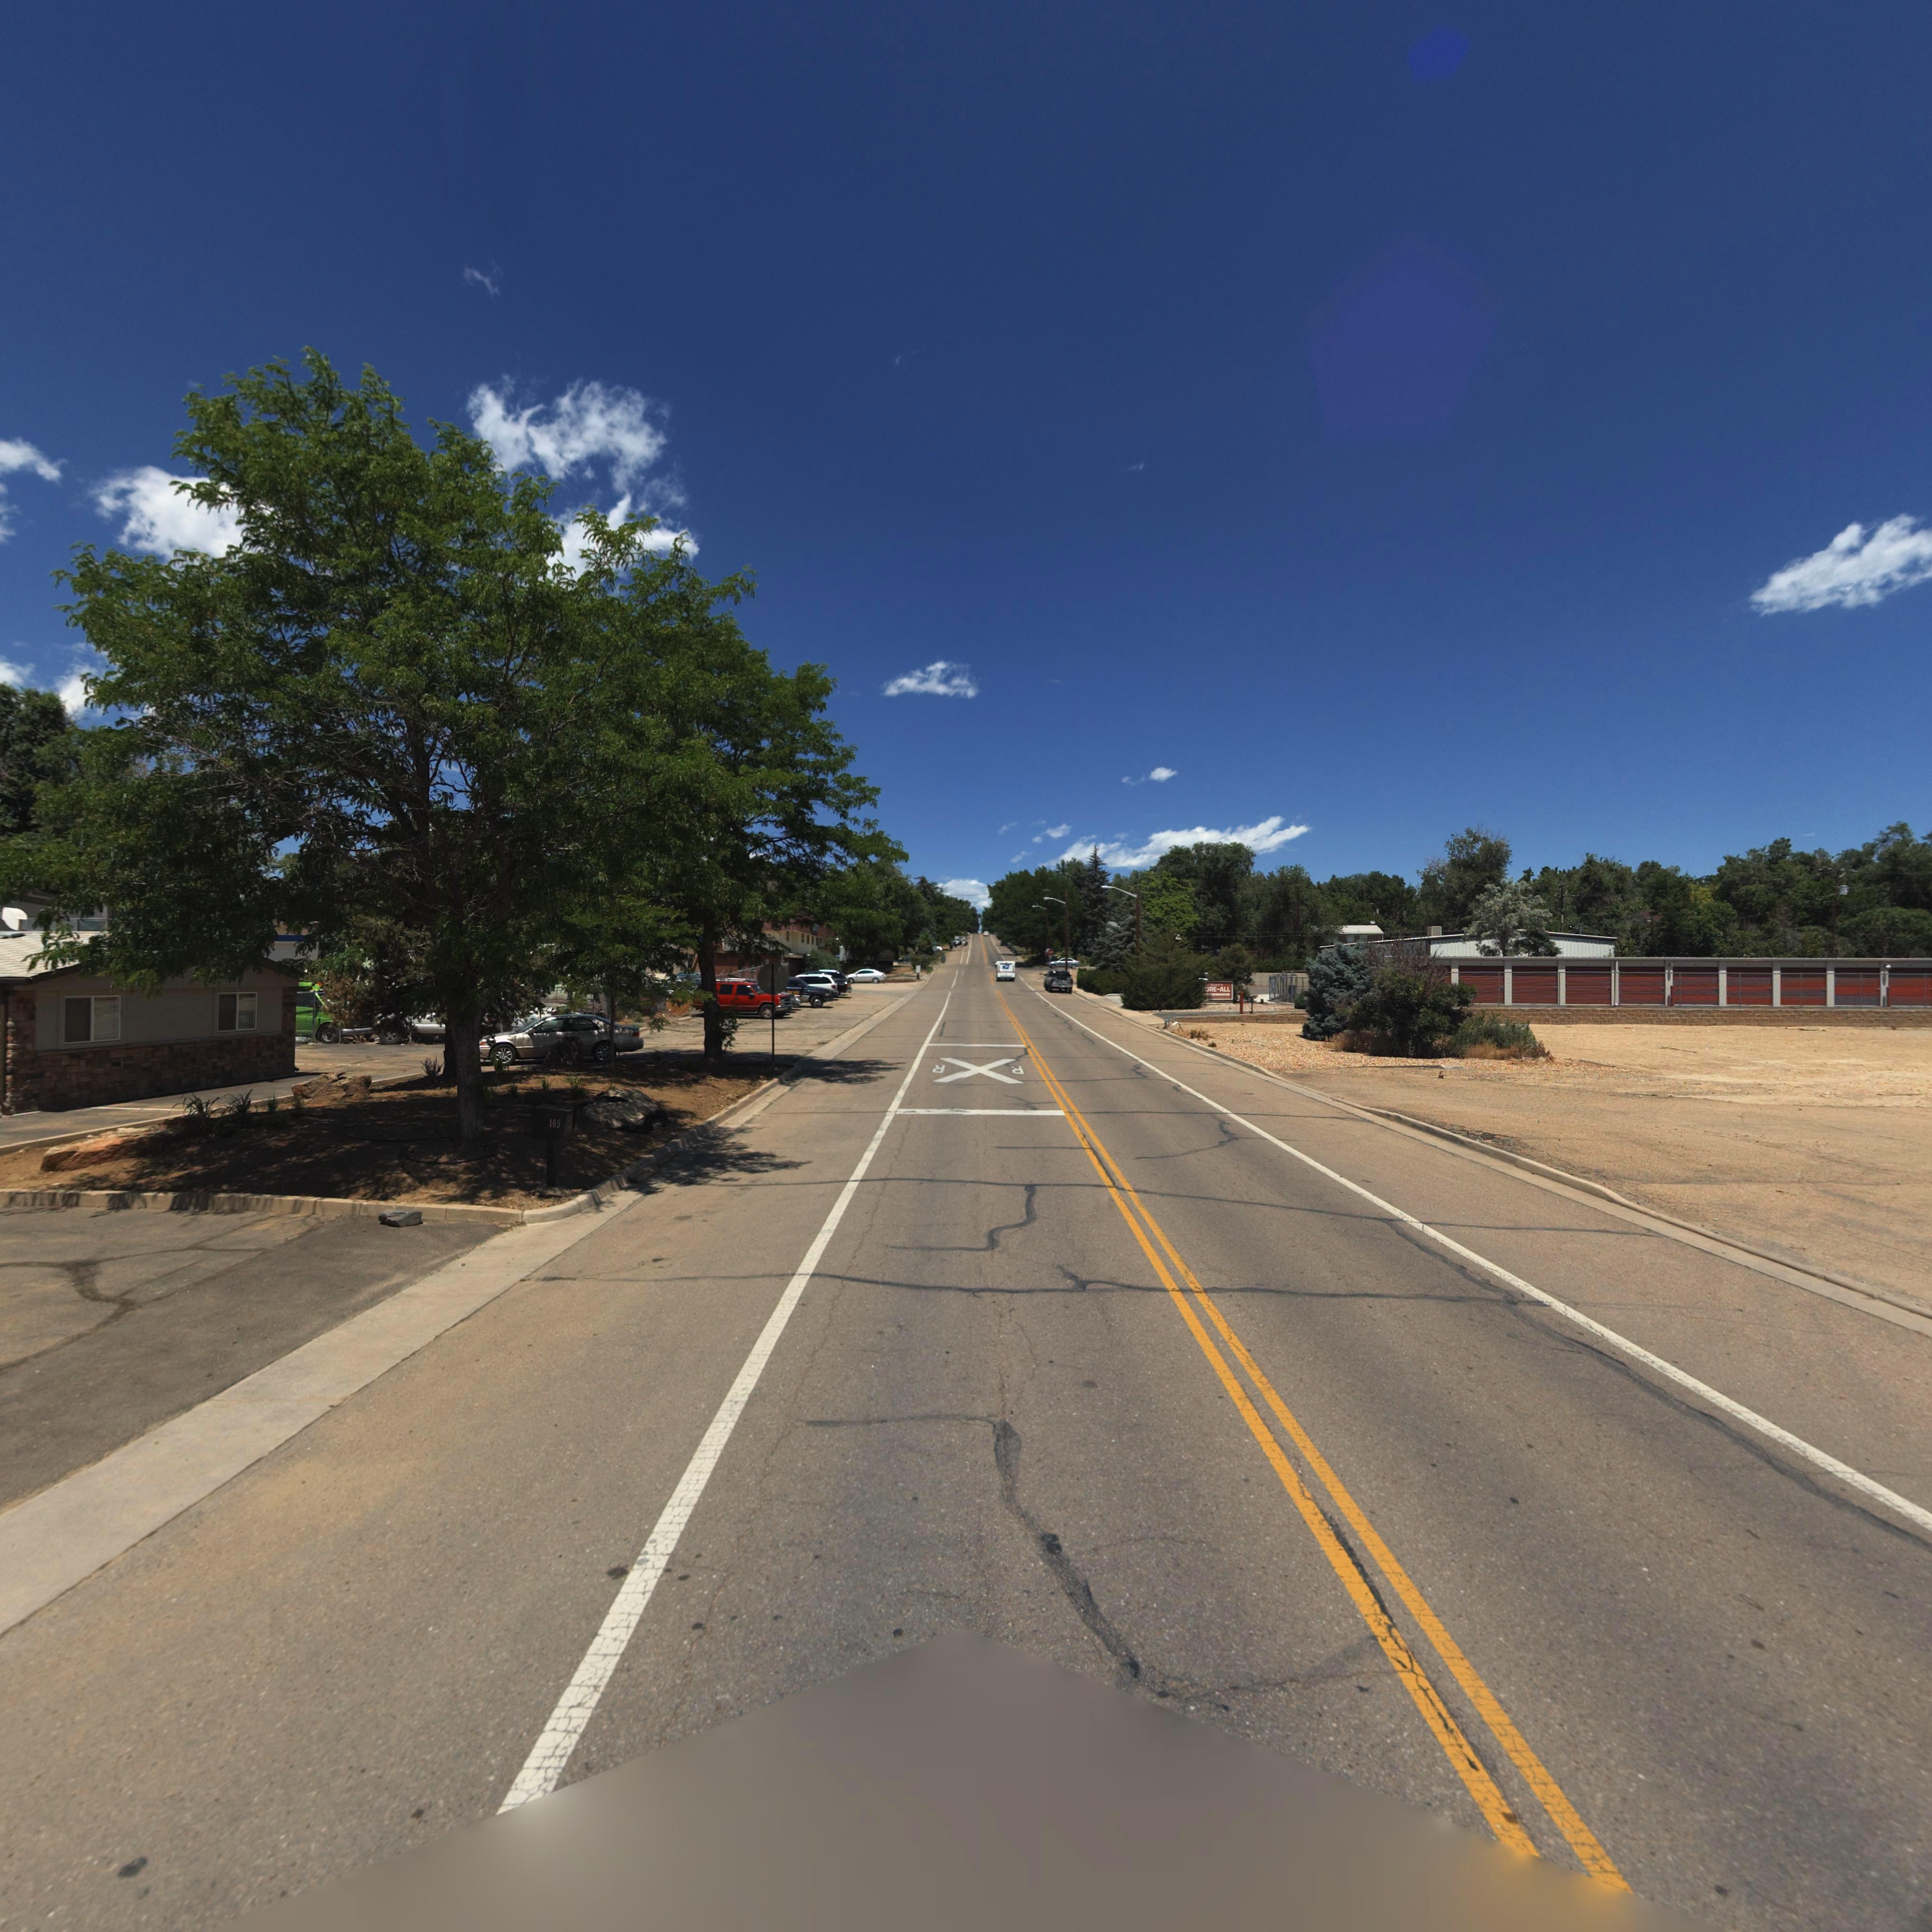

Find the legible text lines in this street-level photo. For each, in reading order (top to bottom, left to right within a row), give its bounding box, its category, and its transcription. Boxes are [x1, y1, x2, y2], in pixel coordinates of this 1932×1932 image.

[1205, 983, 1223, 986] BusinessName: **E****S
[1204, 986, 1230, 992] BusinessName: ORE-ALL
[549, 1118, 561, 1129] StreetNumber: 105